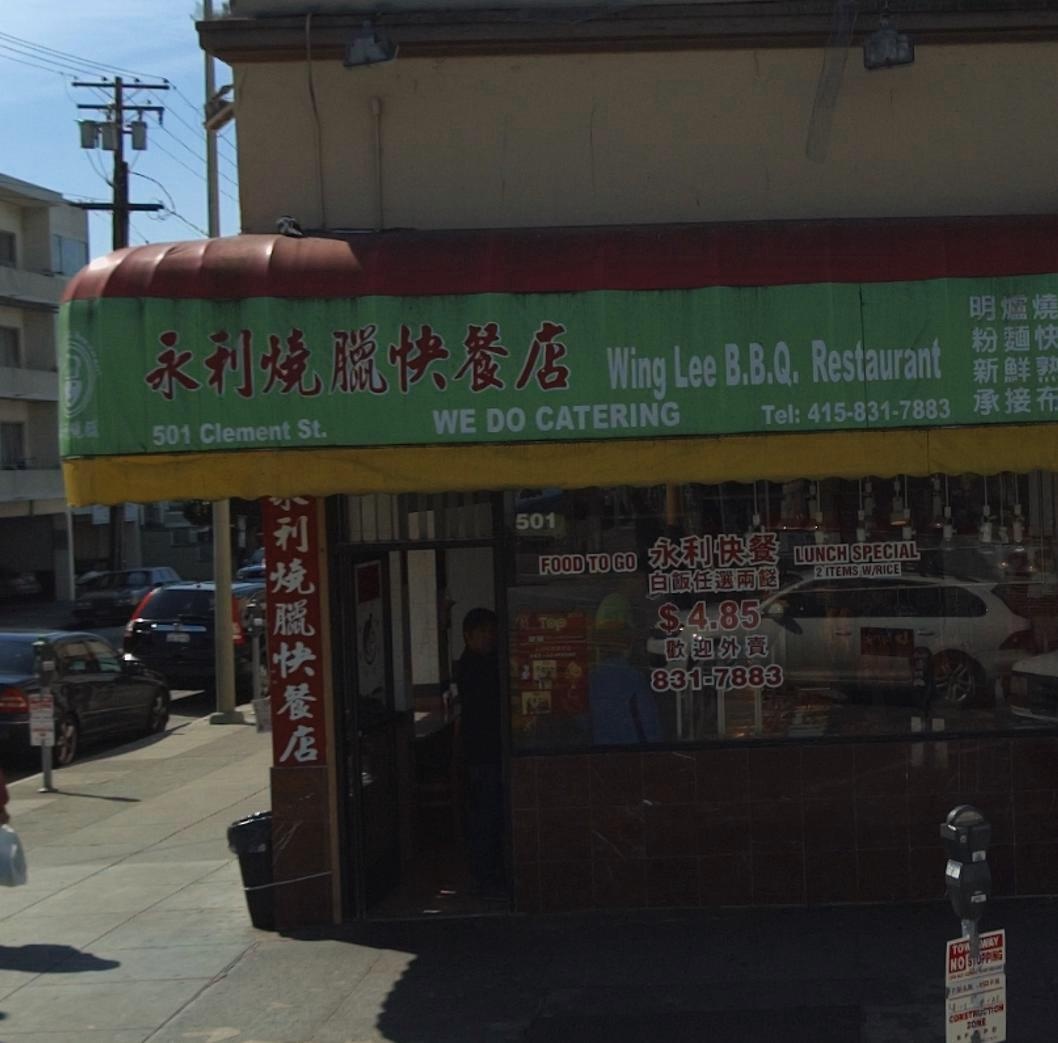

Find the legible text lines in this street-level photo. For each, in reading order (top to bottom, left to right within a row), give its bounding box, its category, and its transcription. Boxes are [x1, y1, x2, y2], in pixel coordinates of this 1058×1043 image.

[601, 334, 944, 401] BusinessName: Wing Lee B.B.Q. Restaurant
[150, 421, 193, 447] StreetNumber: 501
[198, 416, 329, 445] StreetName: Clement St.
[429, 399, 682, 436] None: WE DO CATERING
[760, 395, 952, 425] None: Tel: 415-831-7883
[516, 511, 557, 530] StreetNumber: 501
[536, 550, 637, 577] None: FOOD TO GO
[793, 541, 921, 566] None: LUNCH SPECIAL
[813, 562, 901, 579] None: 2 ITEMS W/RICE
[654, 597, 762, 637] None: $4.85
[650, 662, 784, 693] None: 831-7883
[949, 934, 1000, 957] None: TOW**WAY
[947, 947, 1005, 975] None: NO S*OPPING